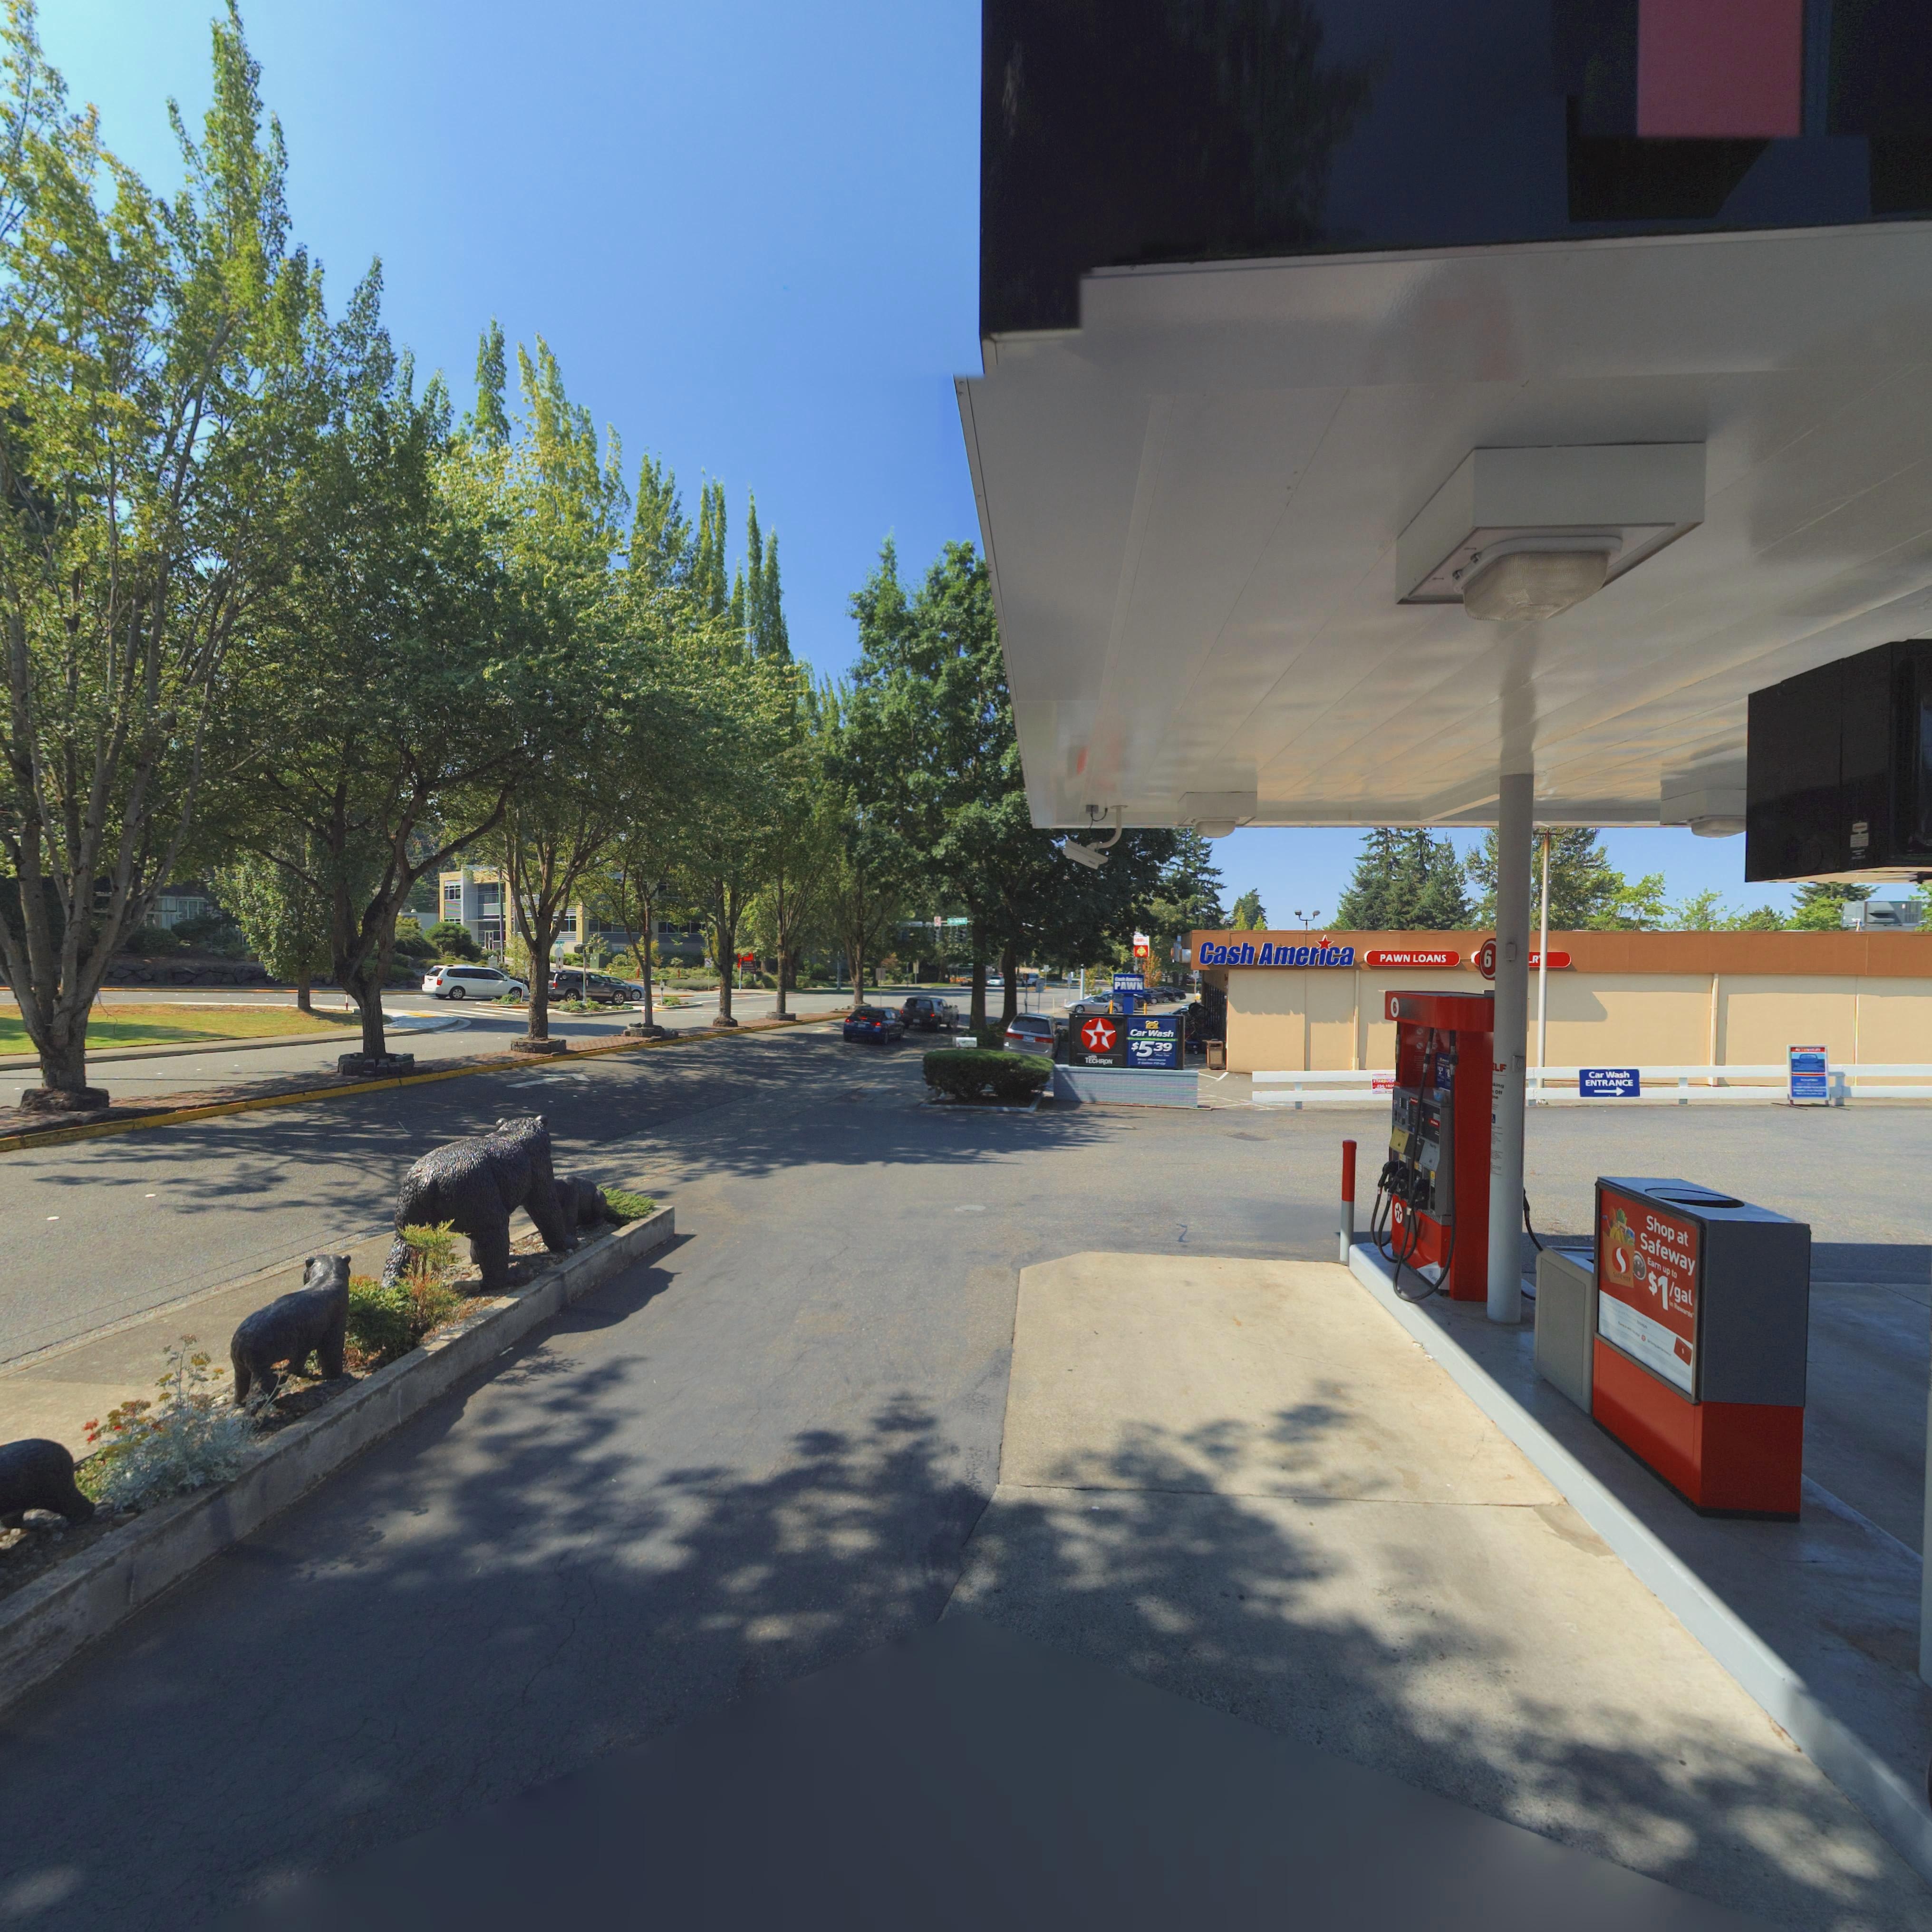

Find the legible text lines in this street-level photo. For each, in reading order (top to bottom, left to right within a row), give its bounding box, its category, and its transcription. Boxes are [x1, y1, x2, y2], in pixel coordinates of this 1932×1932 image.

[1198, 942, 1354, 966] BusinessName: Cash Amer*ca
[1380, 954, 1445, 962] BusinessName: PAWN LOANS
[1114, 982, 1143, 989] BusinessName: PAWN
[1130, 1029, 1174, 1037] BusinessName: Car Wash